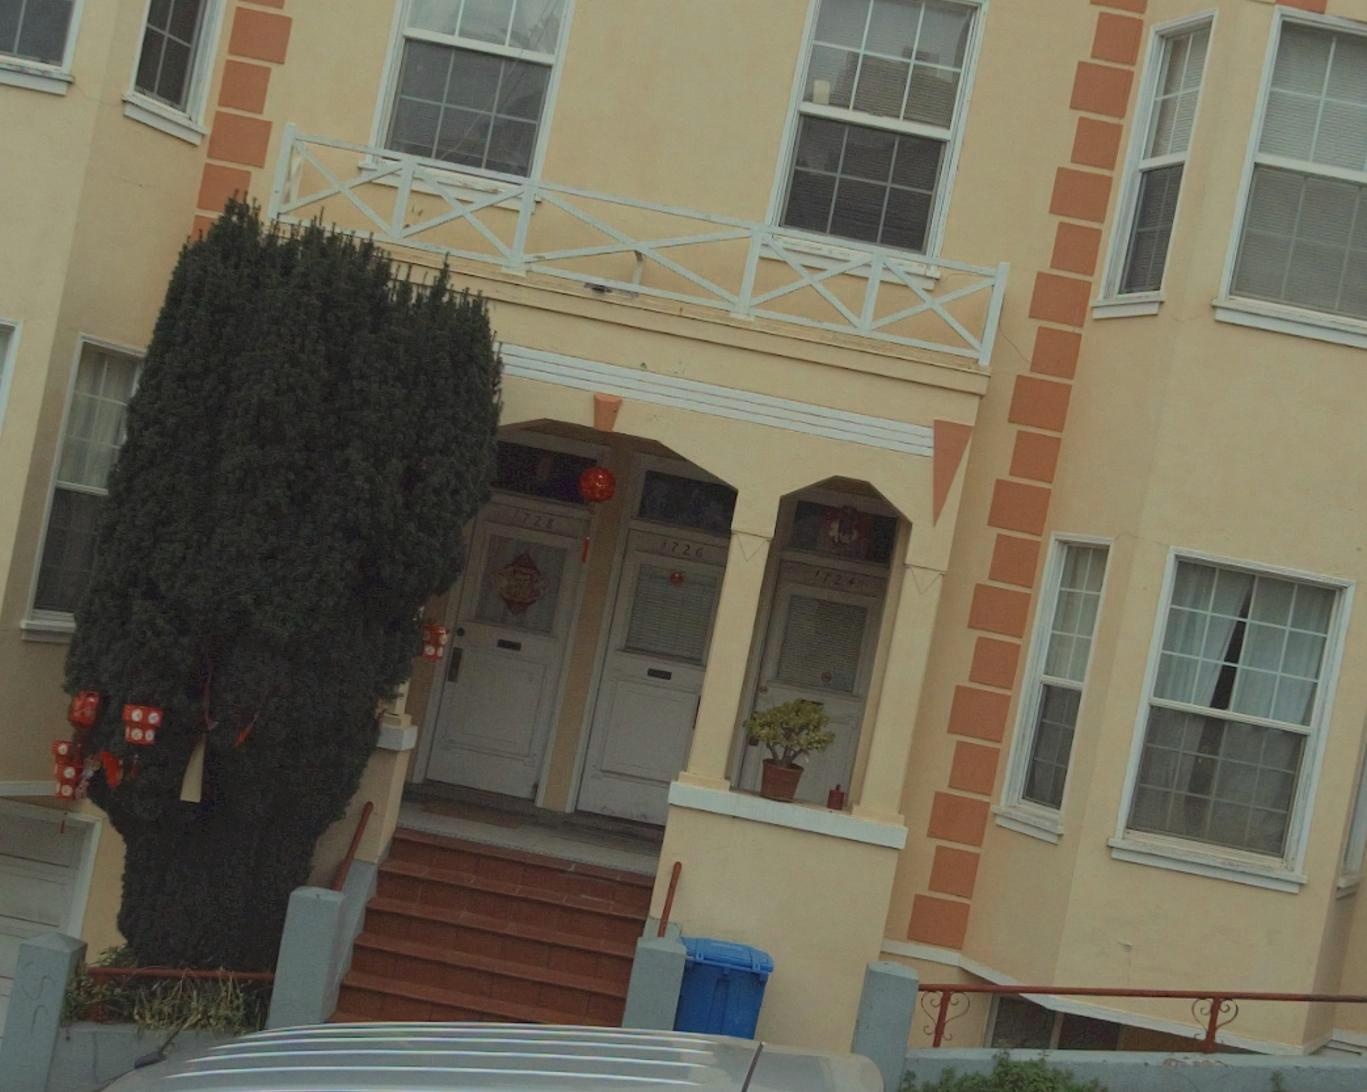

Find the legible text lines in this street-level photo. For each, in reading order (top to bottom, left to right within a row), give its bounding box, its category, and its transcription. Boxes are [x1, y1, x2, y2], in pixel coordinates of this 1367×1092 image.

[509, 507, 558, 532] StreetNumber: 1728
[658, 536, 708, 561] StreetNumber: 1726
[811, 568, 858, 591] StreetNumber: 1724